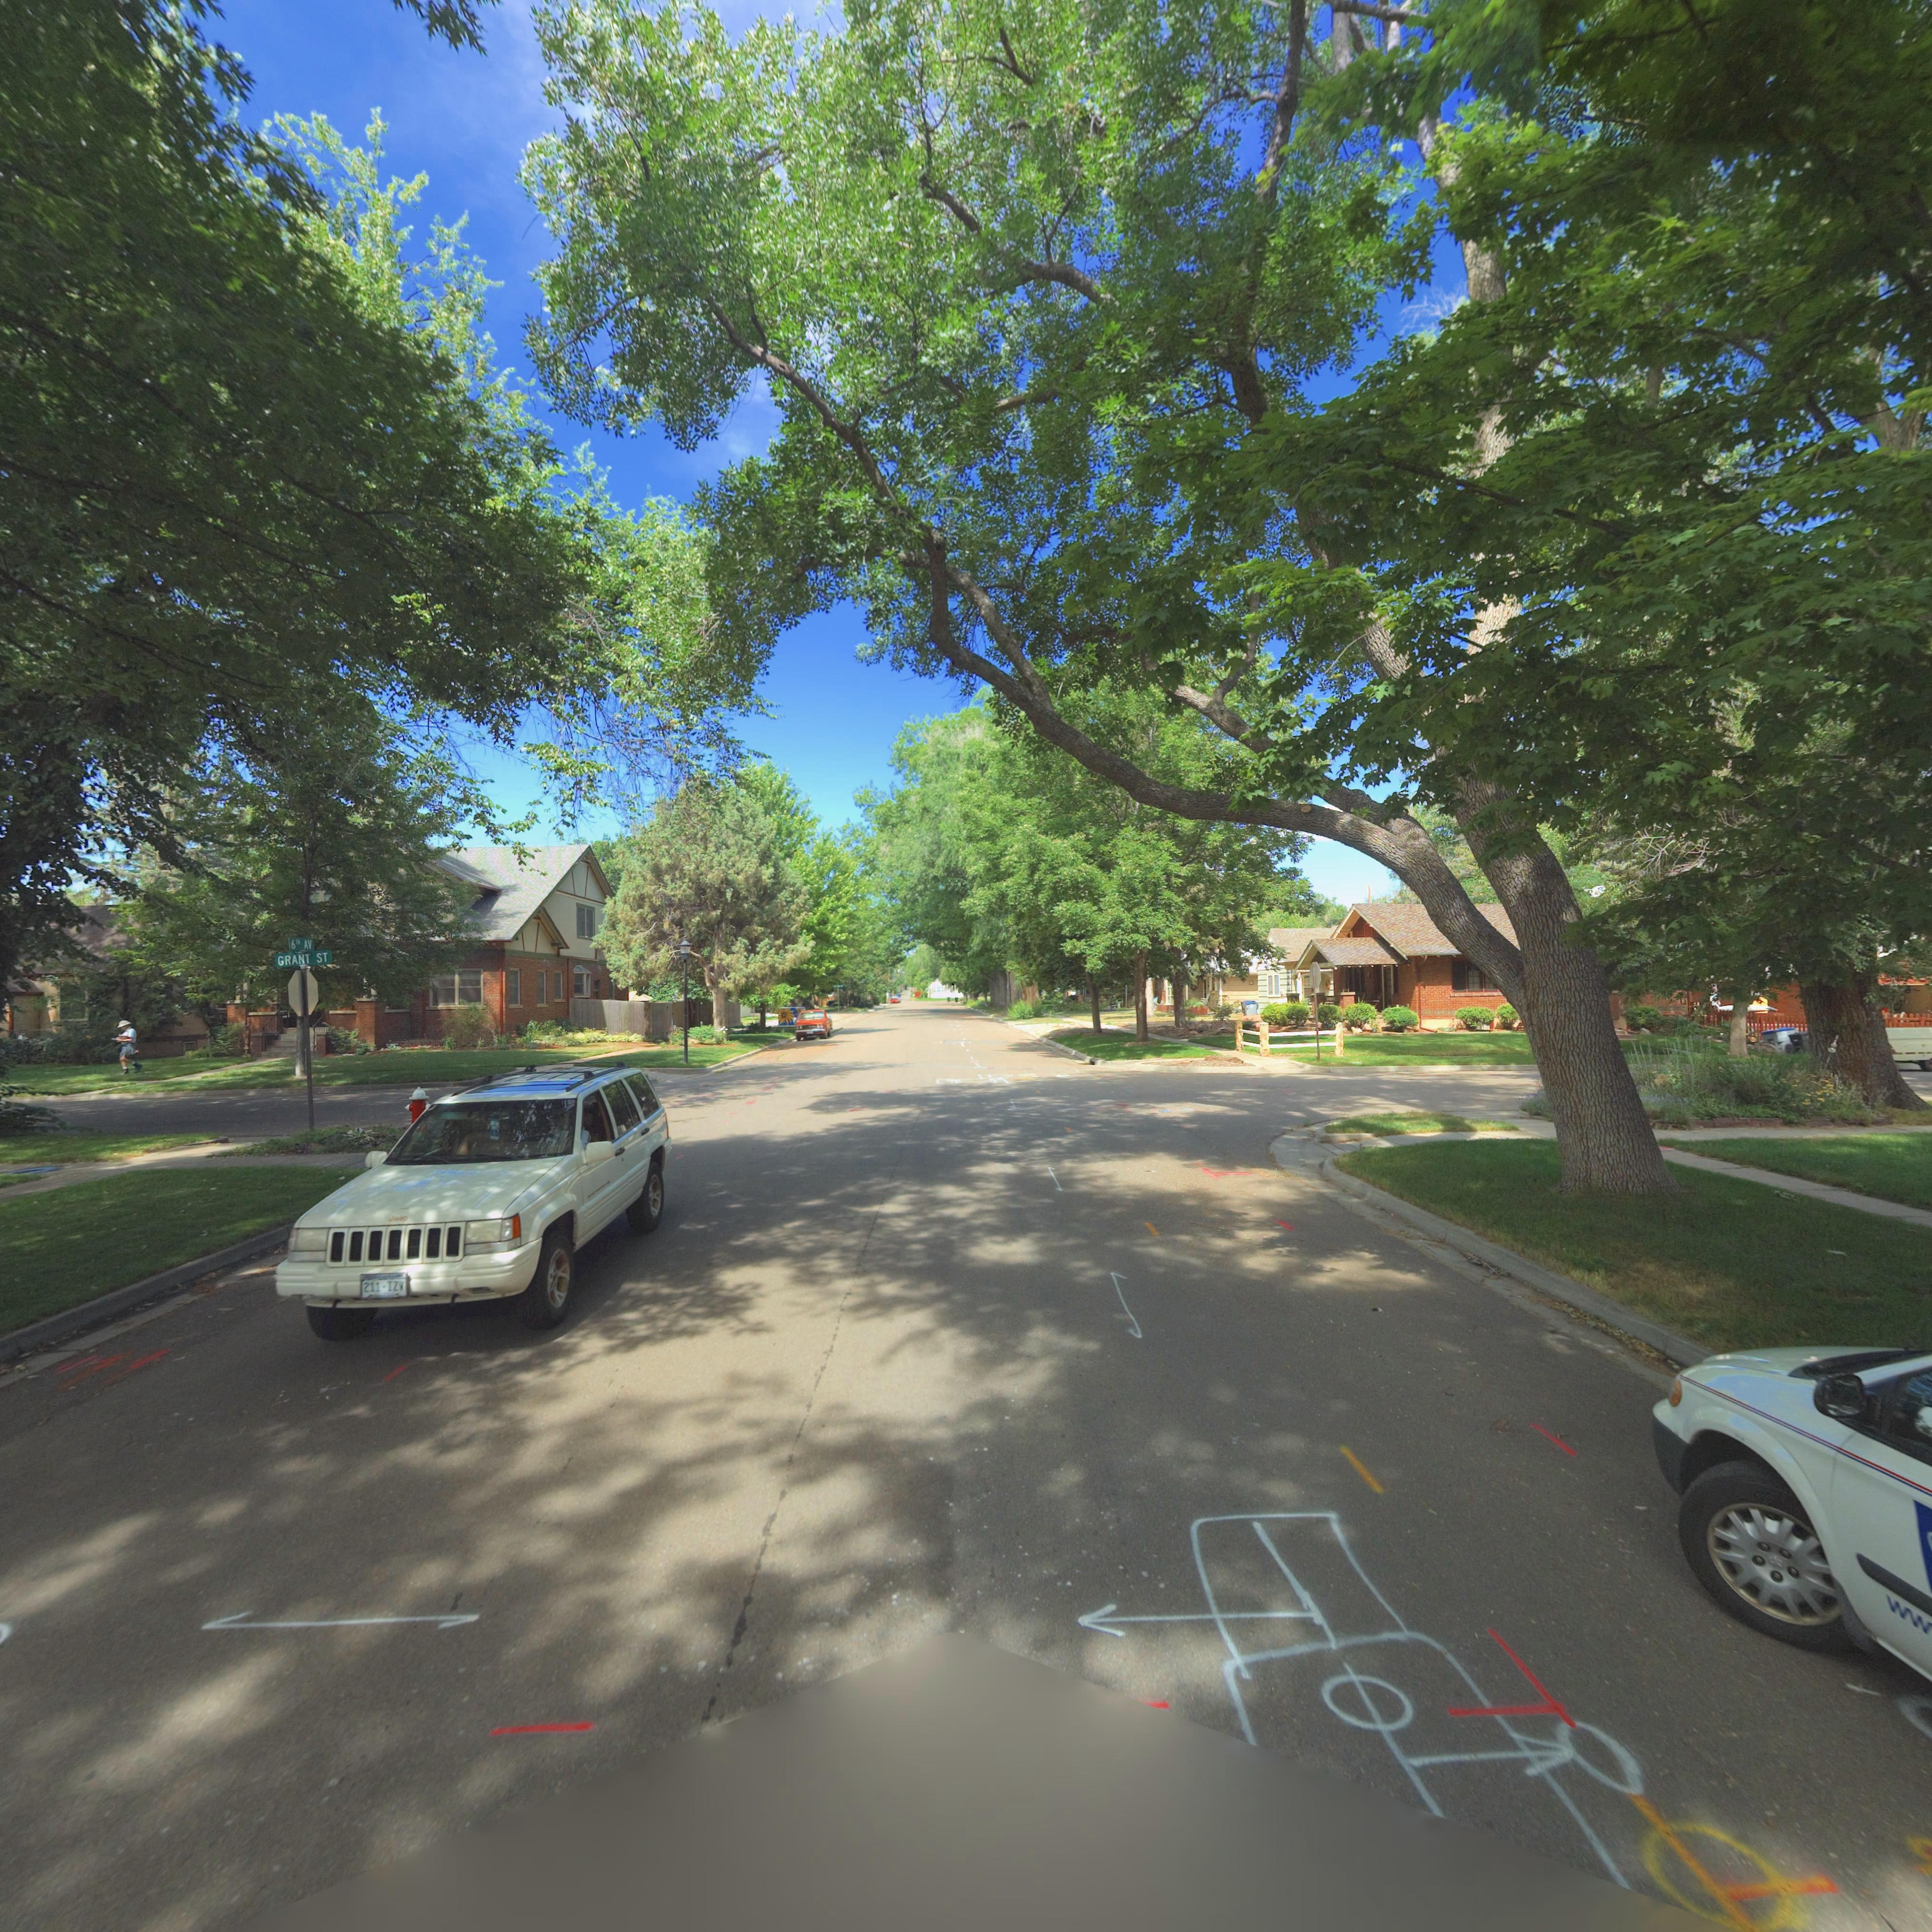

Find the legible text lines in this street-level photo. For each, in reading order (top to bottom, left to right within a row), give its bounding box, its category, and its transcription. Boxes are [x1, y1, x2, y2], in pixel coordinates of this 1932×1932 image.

[291, 939, 311, 949] StreetName: 6** AV
[277, 952, 327, 966] StreetName: GRANT ST